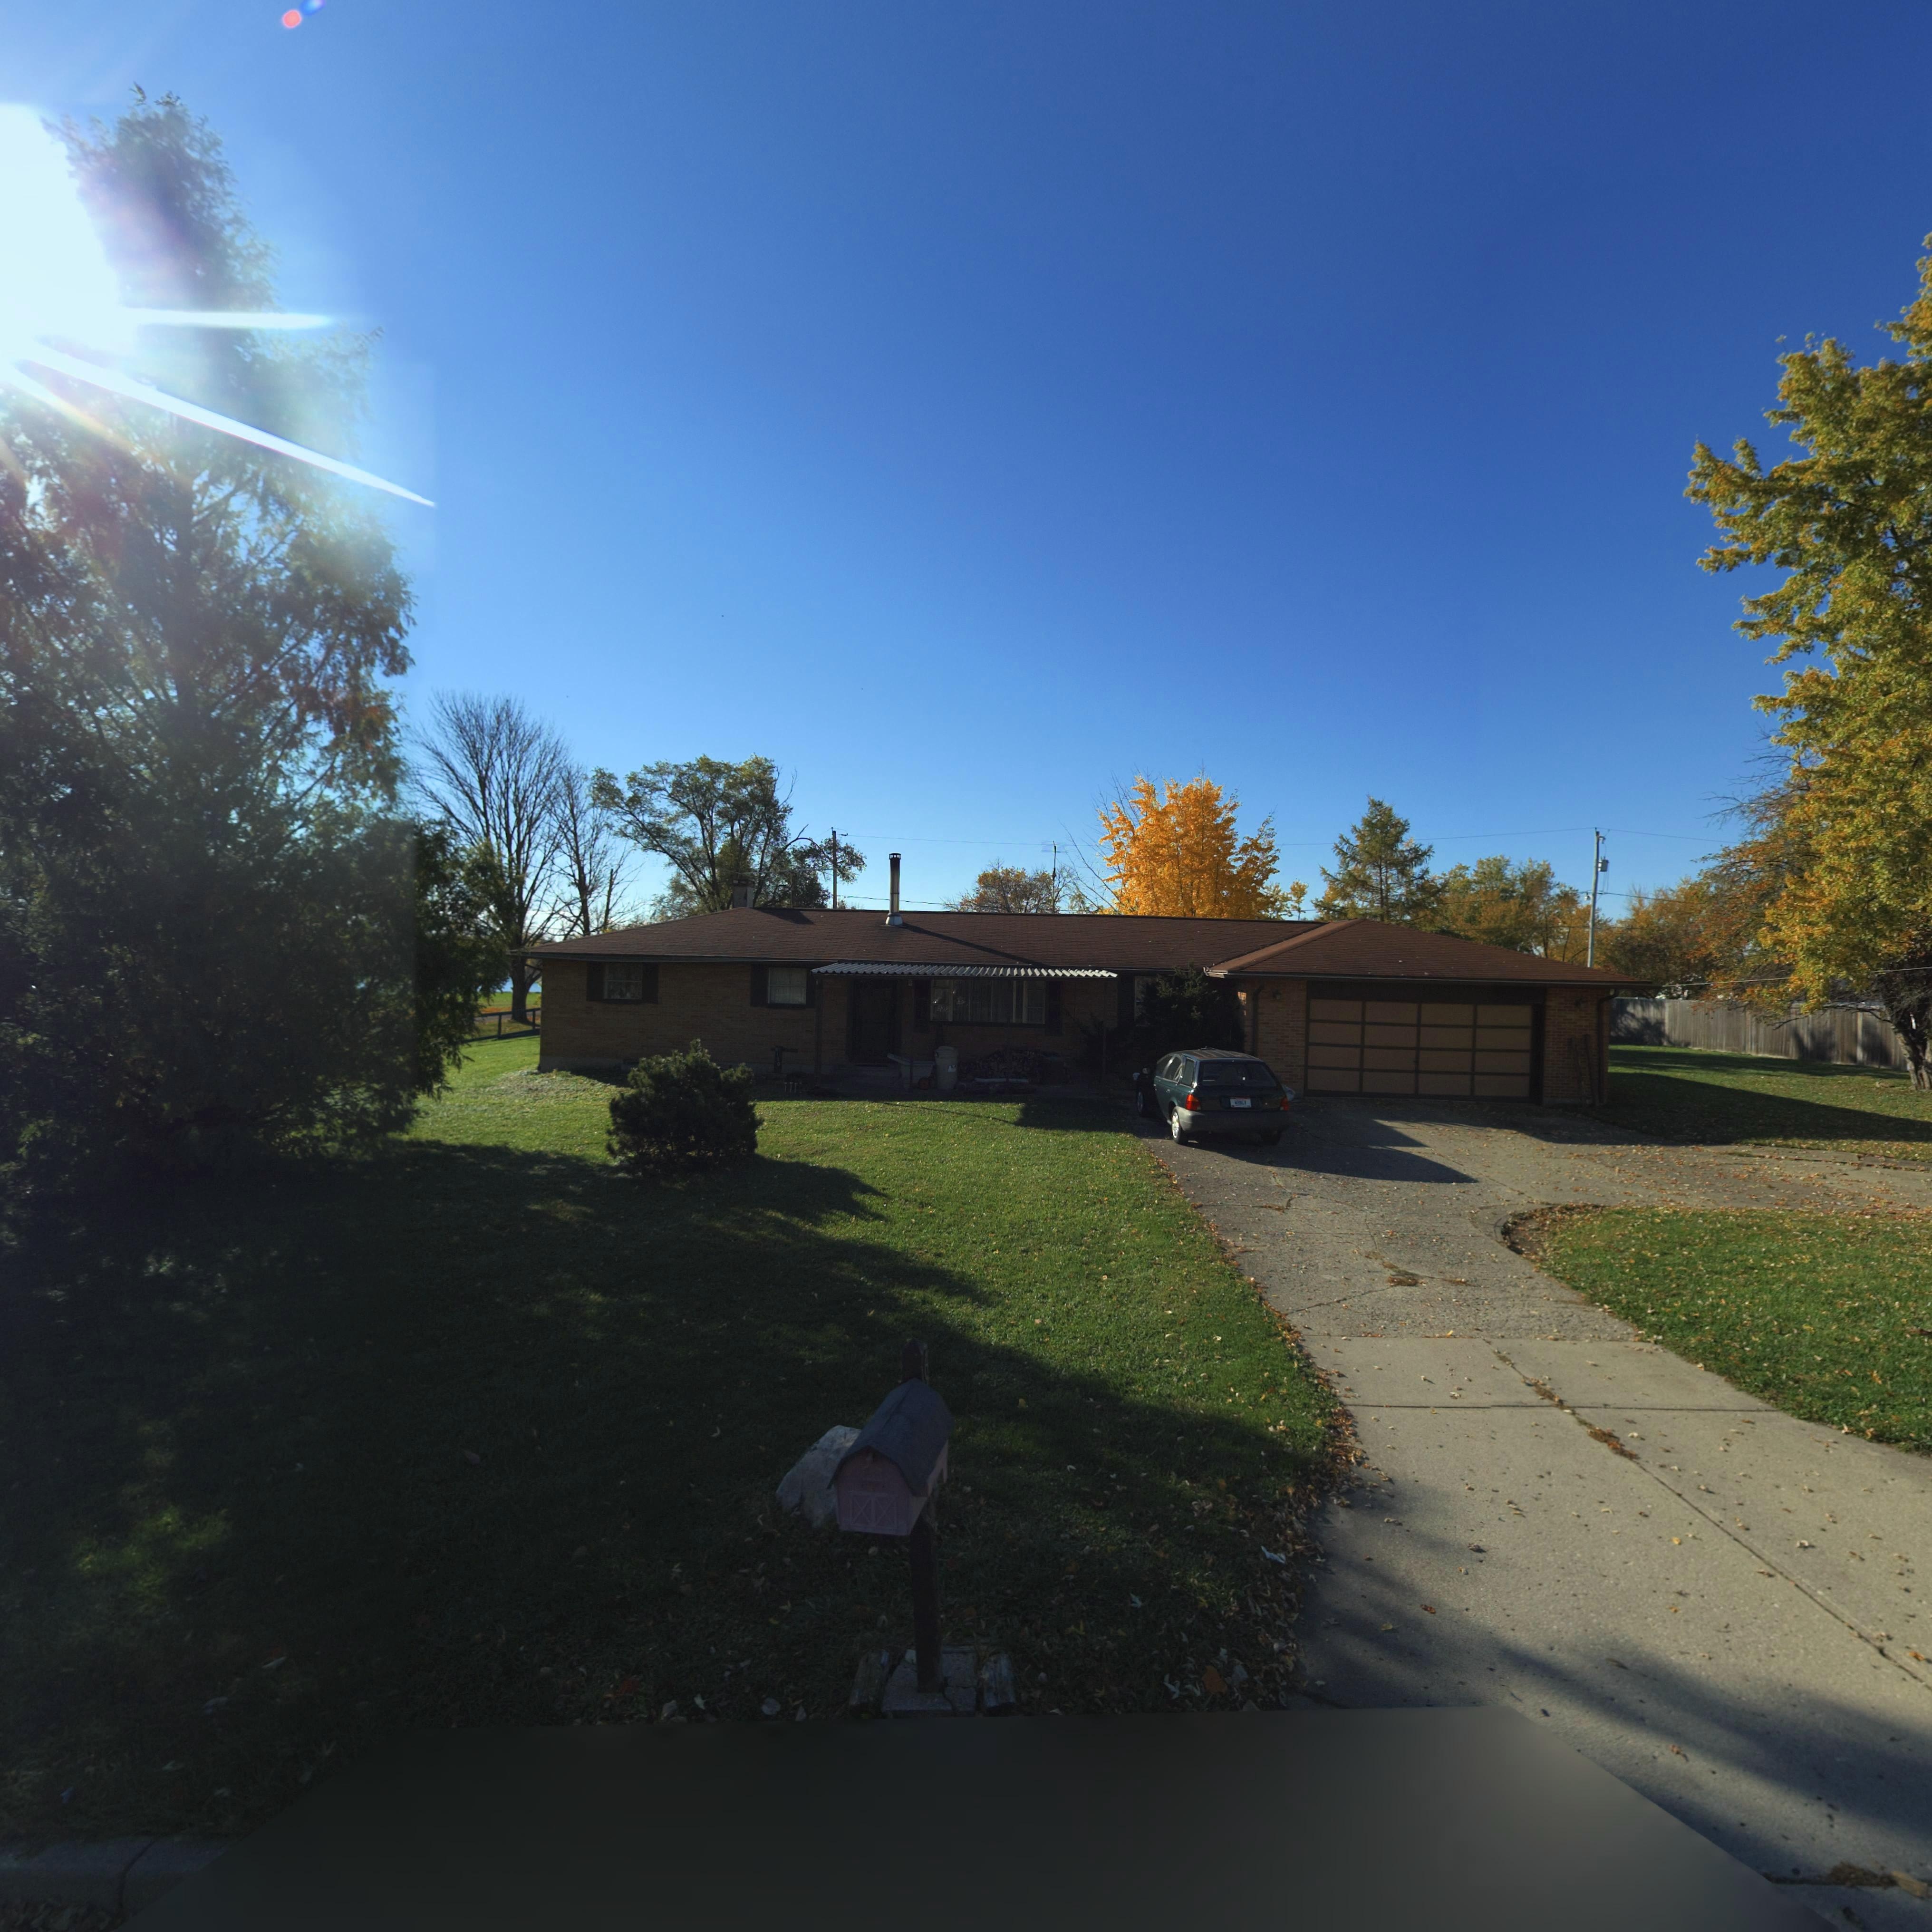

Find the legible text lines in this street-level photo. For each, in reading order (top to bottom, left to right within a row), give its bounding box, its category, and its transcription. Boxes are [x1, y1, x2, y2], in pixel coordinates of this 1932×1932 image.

[775, 1046, 781, 1067] StreetNumber: *1*0